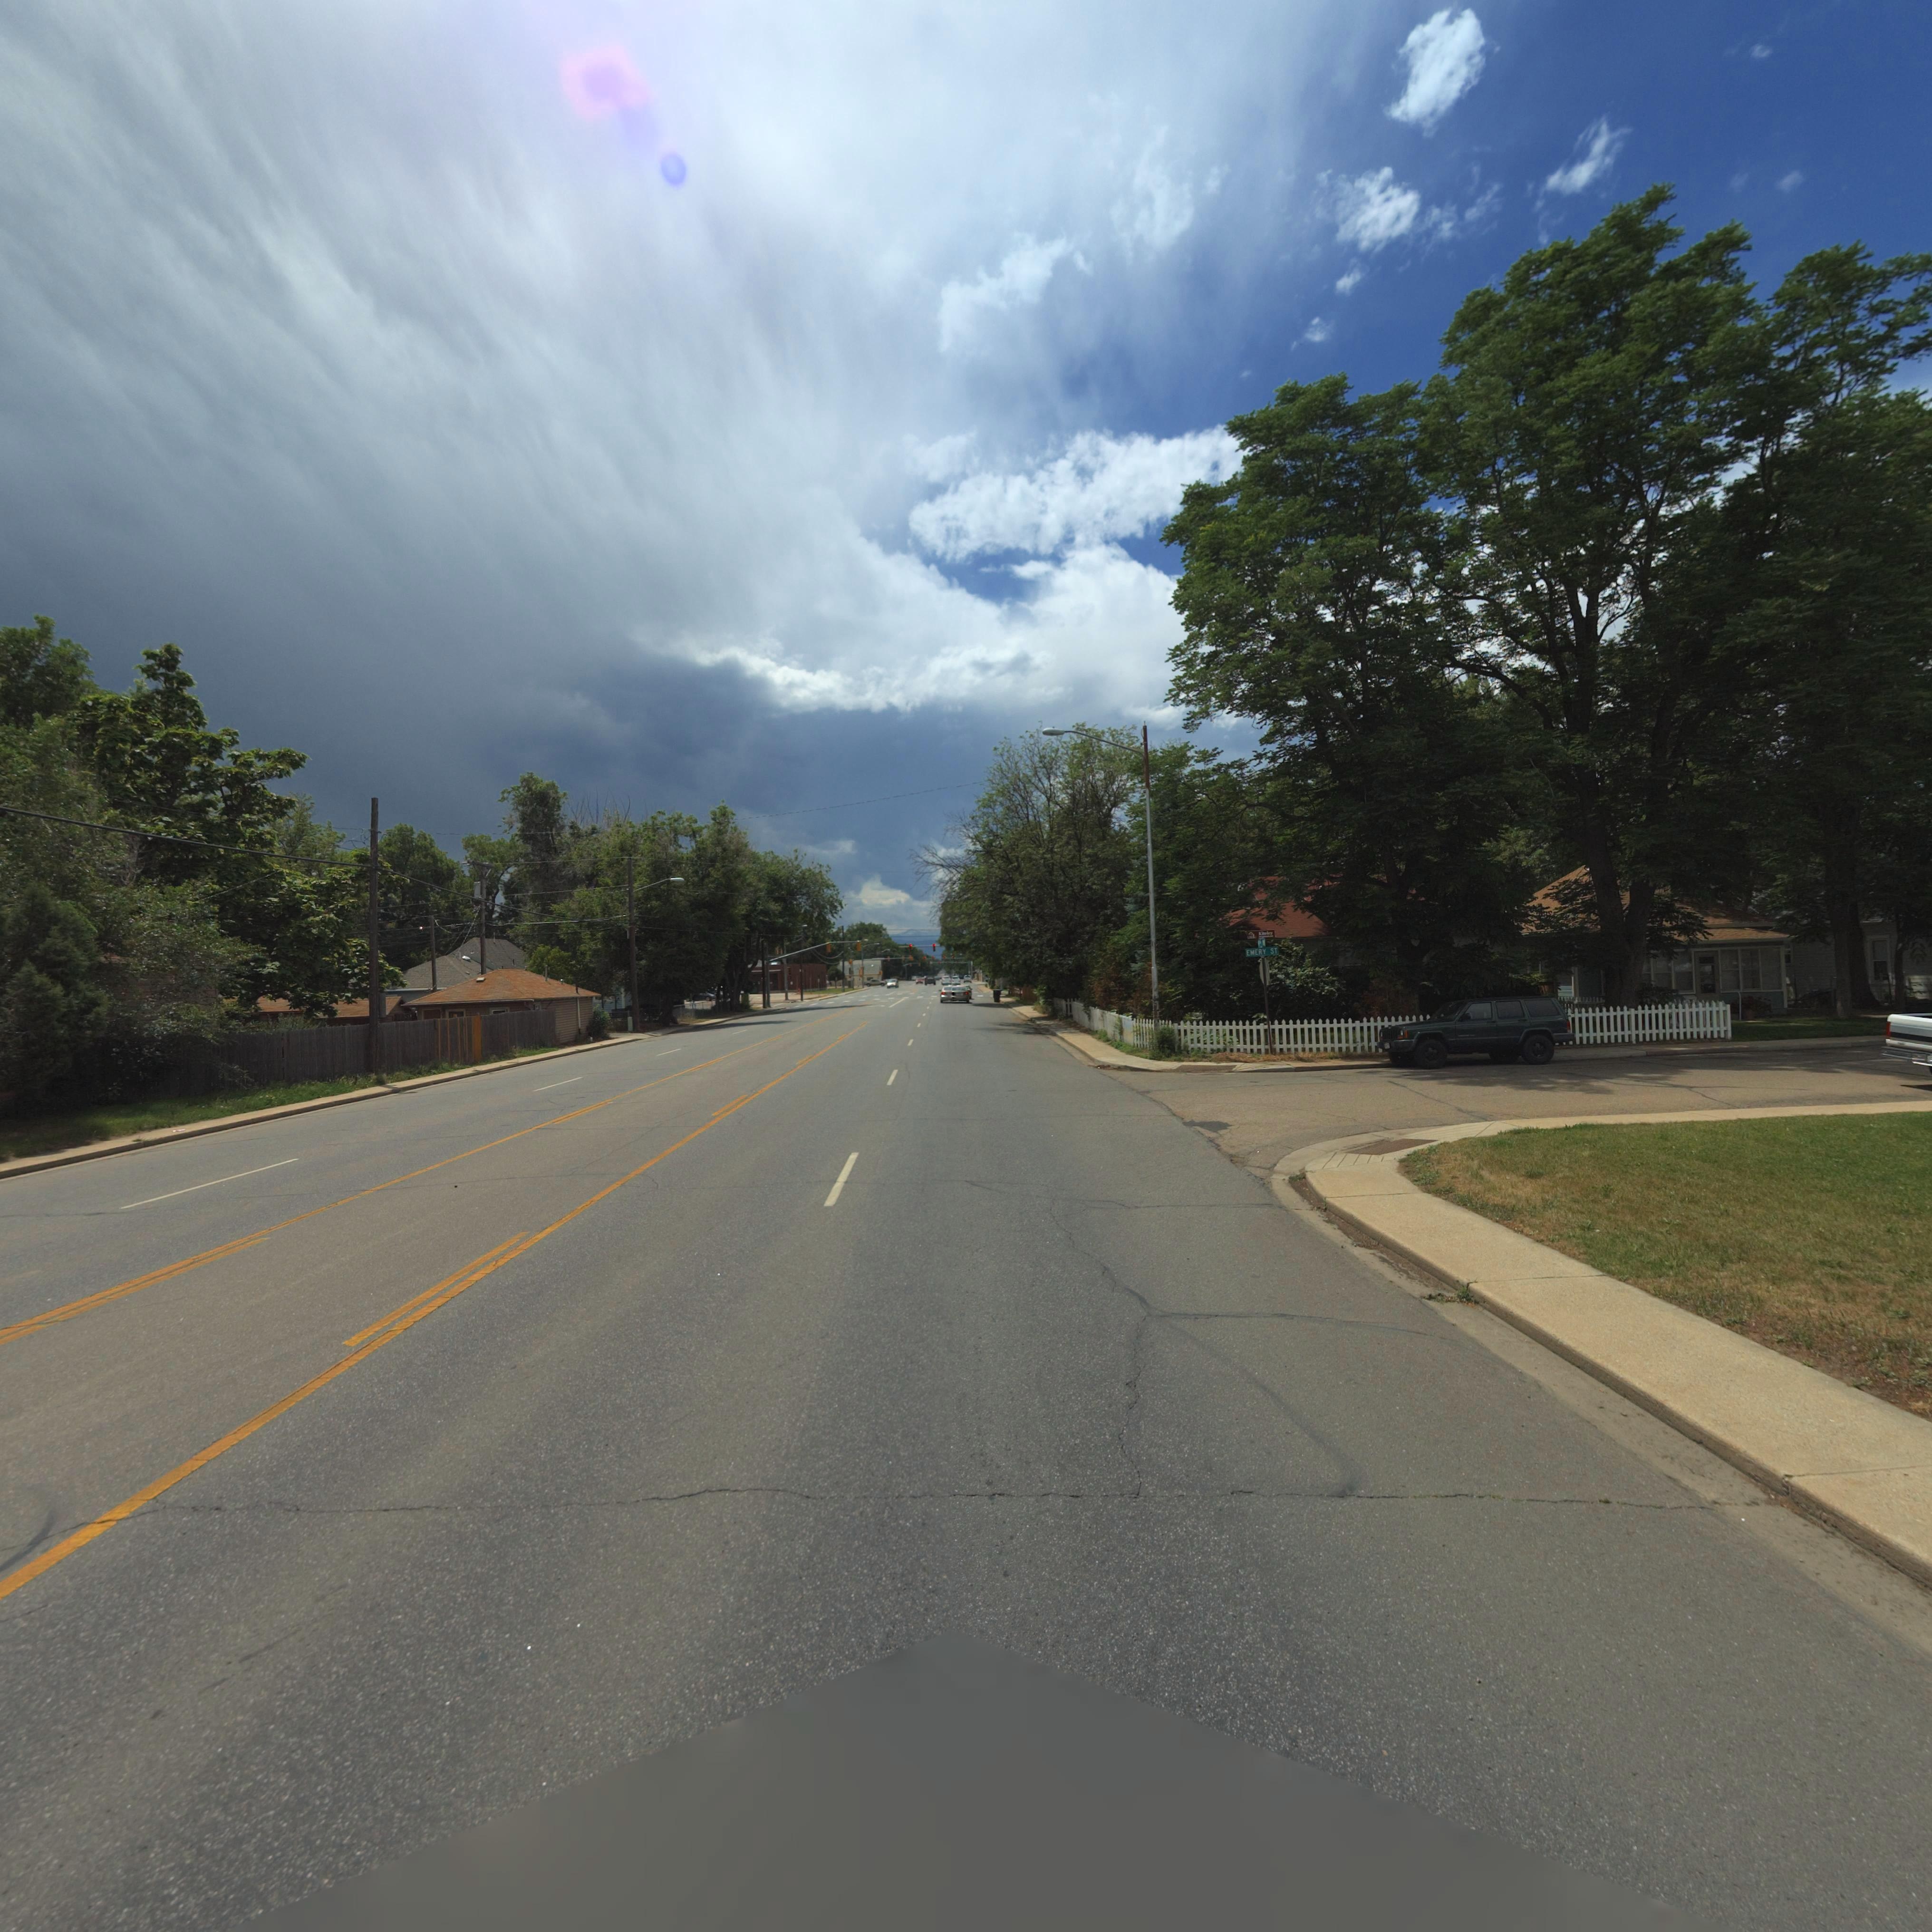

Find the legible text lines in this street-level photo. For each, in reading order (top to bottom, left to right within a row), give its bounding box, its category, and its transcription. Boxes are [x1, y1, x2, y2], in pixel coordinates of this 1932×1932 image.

[1246, 947, 1277, 956] StreetName: EMERY ST